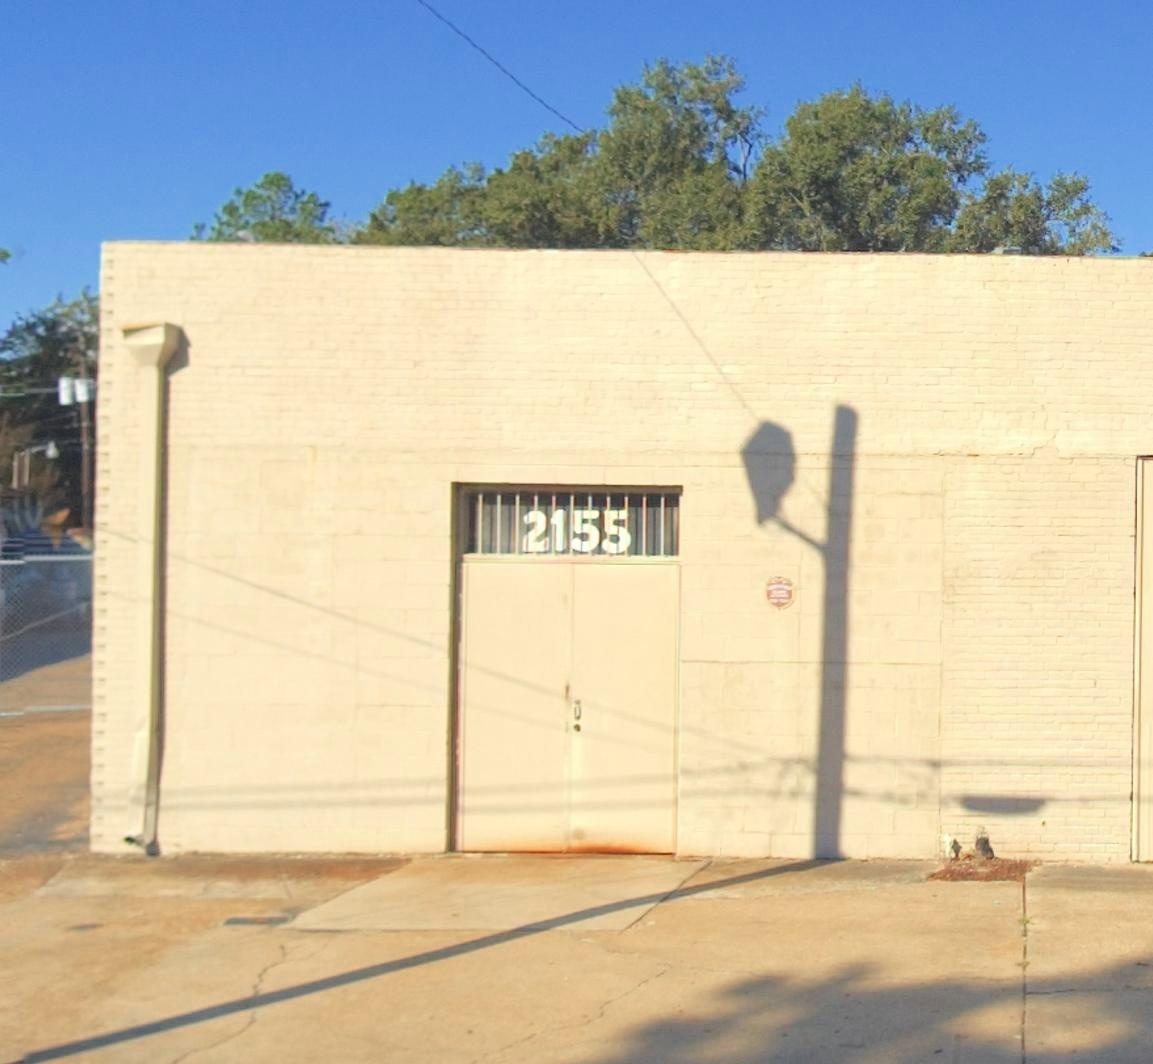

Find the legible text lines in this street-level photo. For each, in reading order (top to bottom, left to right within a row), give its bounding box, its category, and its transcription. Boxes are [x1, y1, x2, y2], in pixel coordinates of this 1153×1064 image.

[520, 507, 634, 556] StreetNumber: 2155